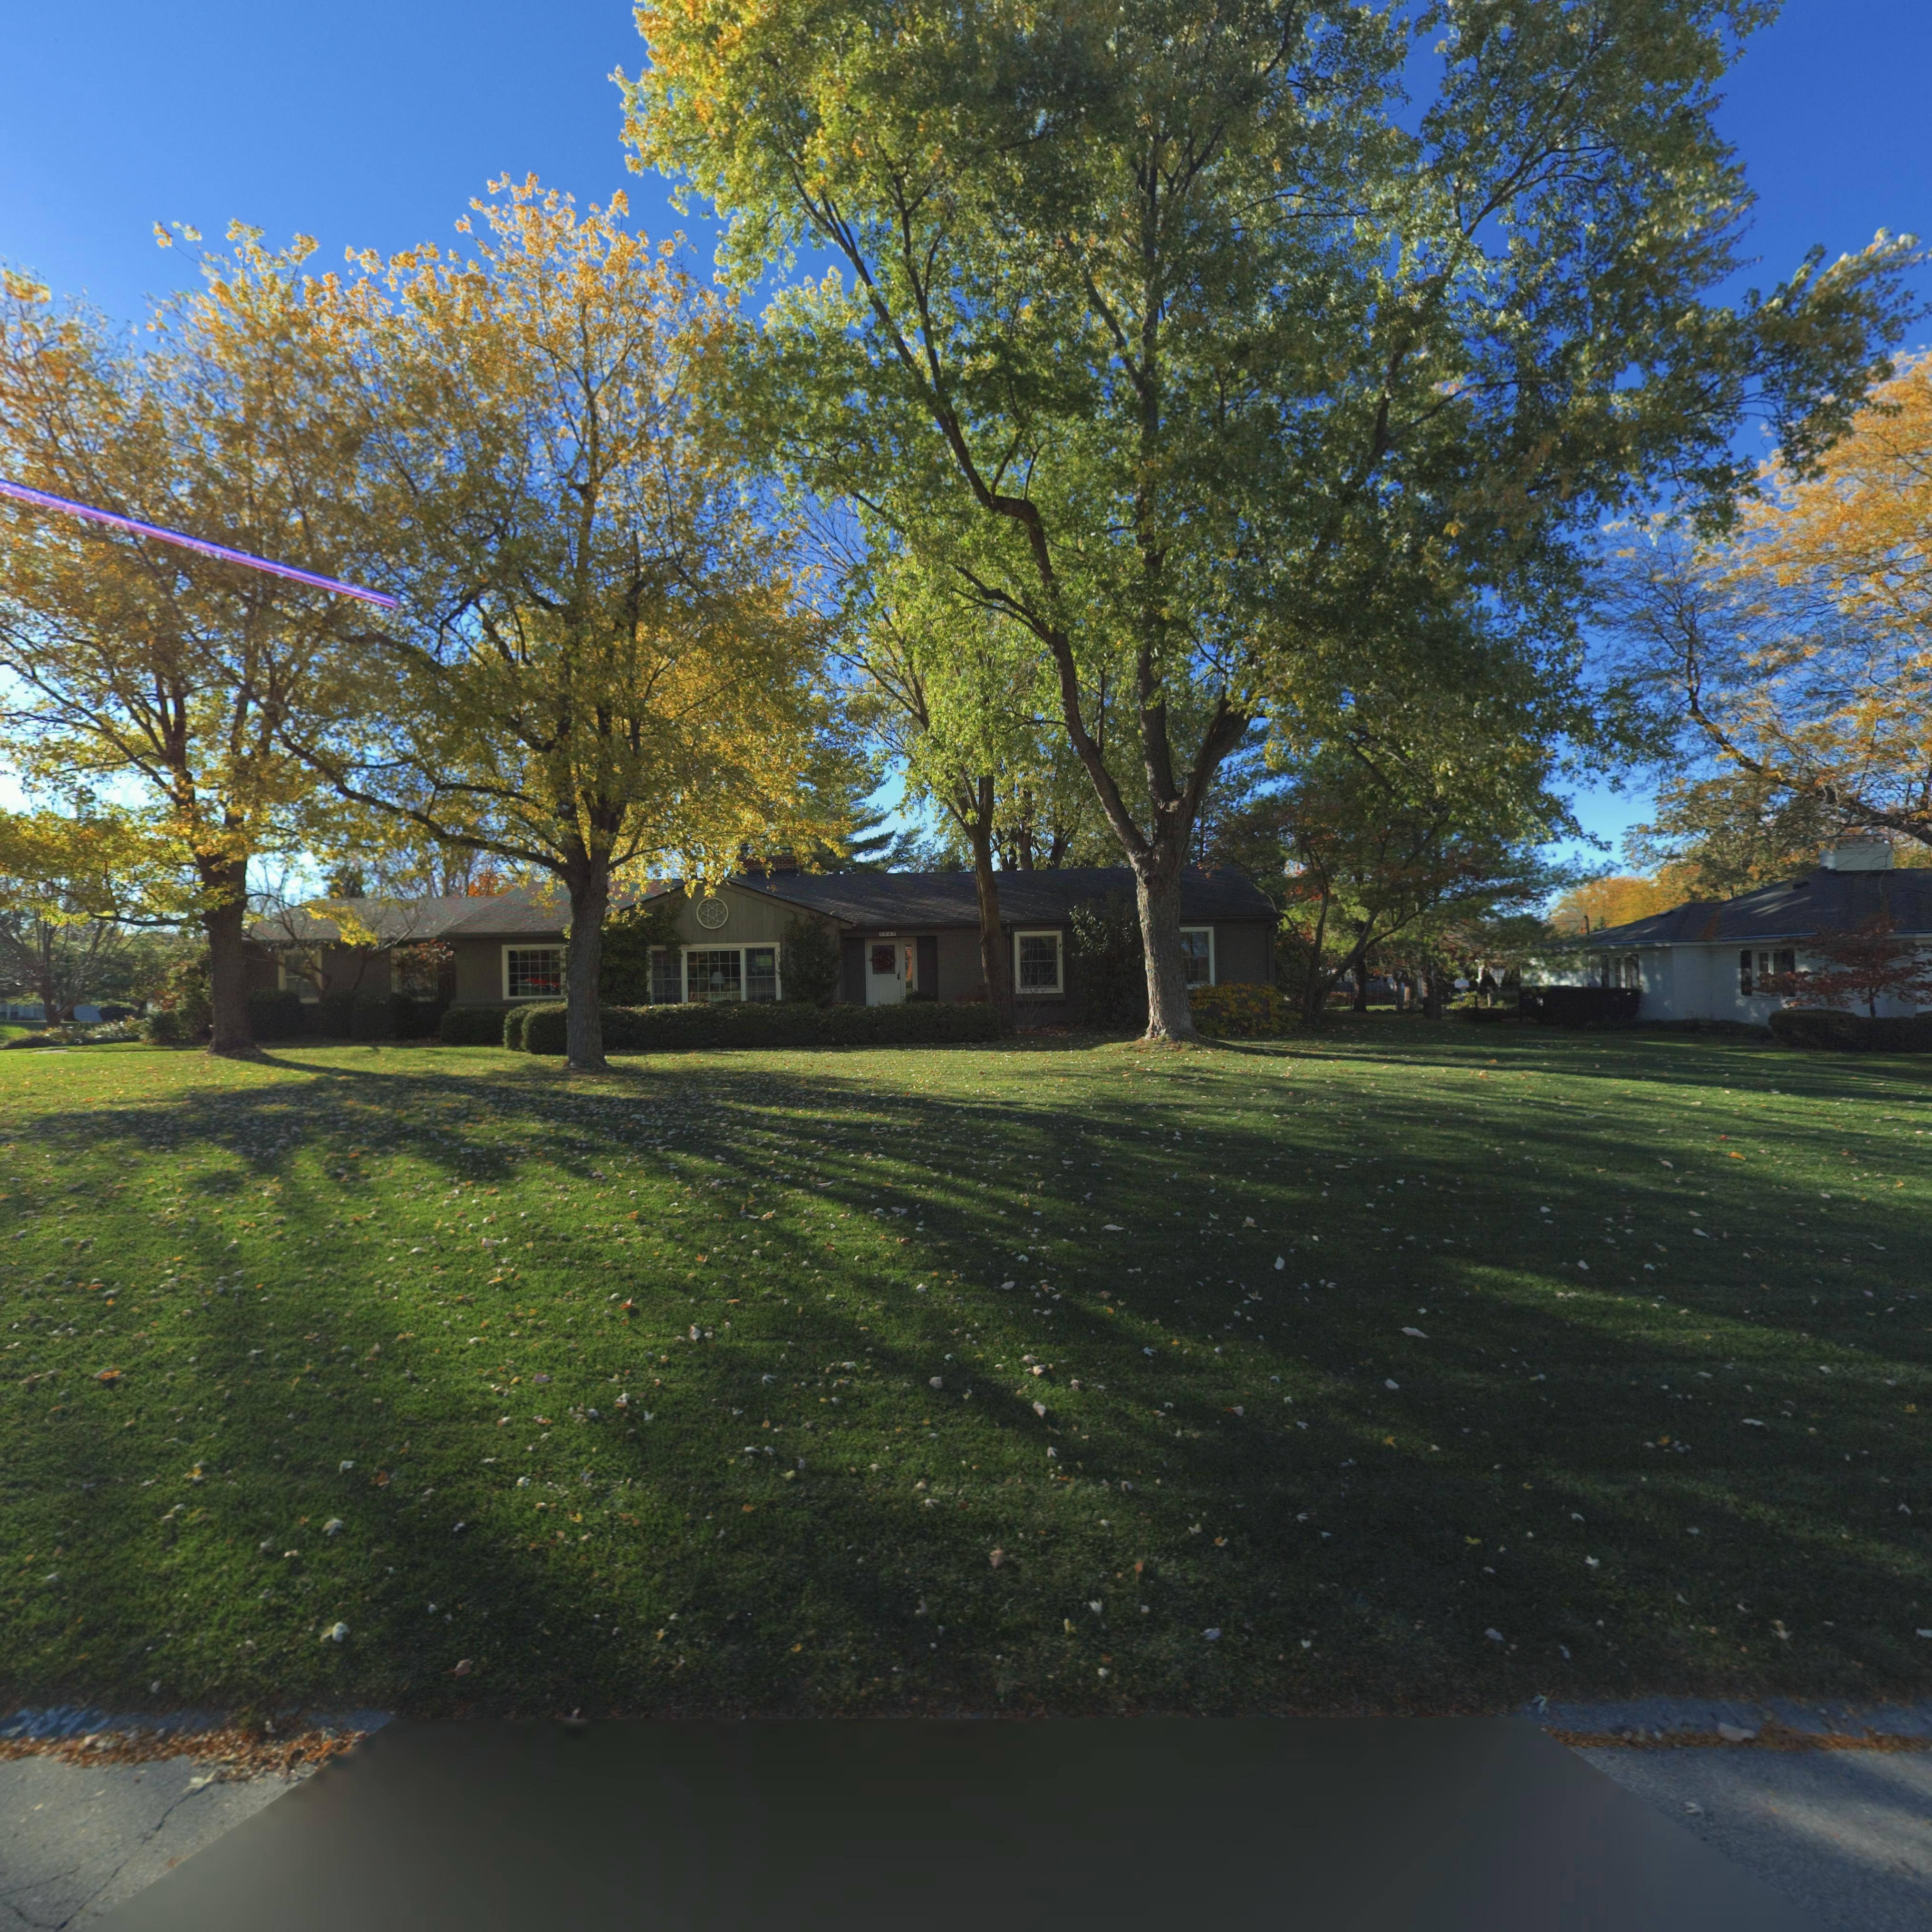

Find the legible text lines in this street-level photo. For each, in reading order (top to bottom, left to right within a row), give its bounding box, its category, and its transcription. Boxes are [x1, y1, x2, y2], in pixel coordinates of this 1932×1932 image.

[878, 931, 895, 936] StreetNumber: 5845